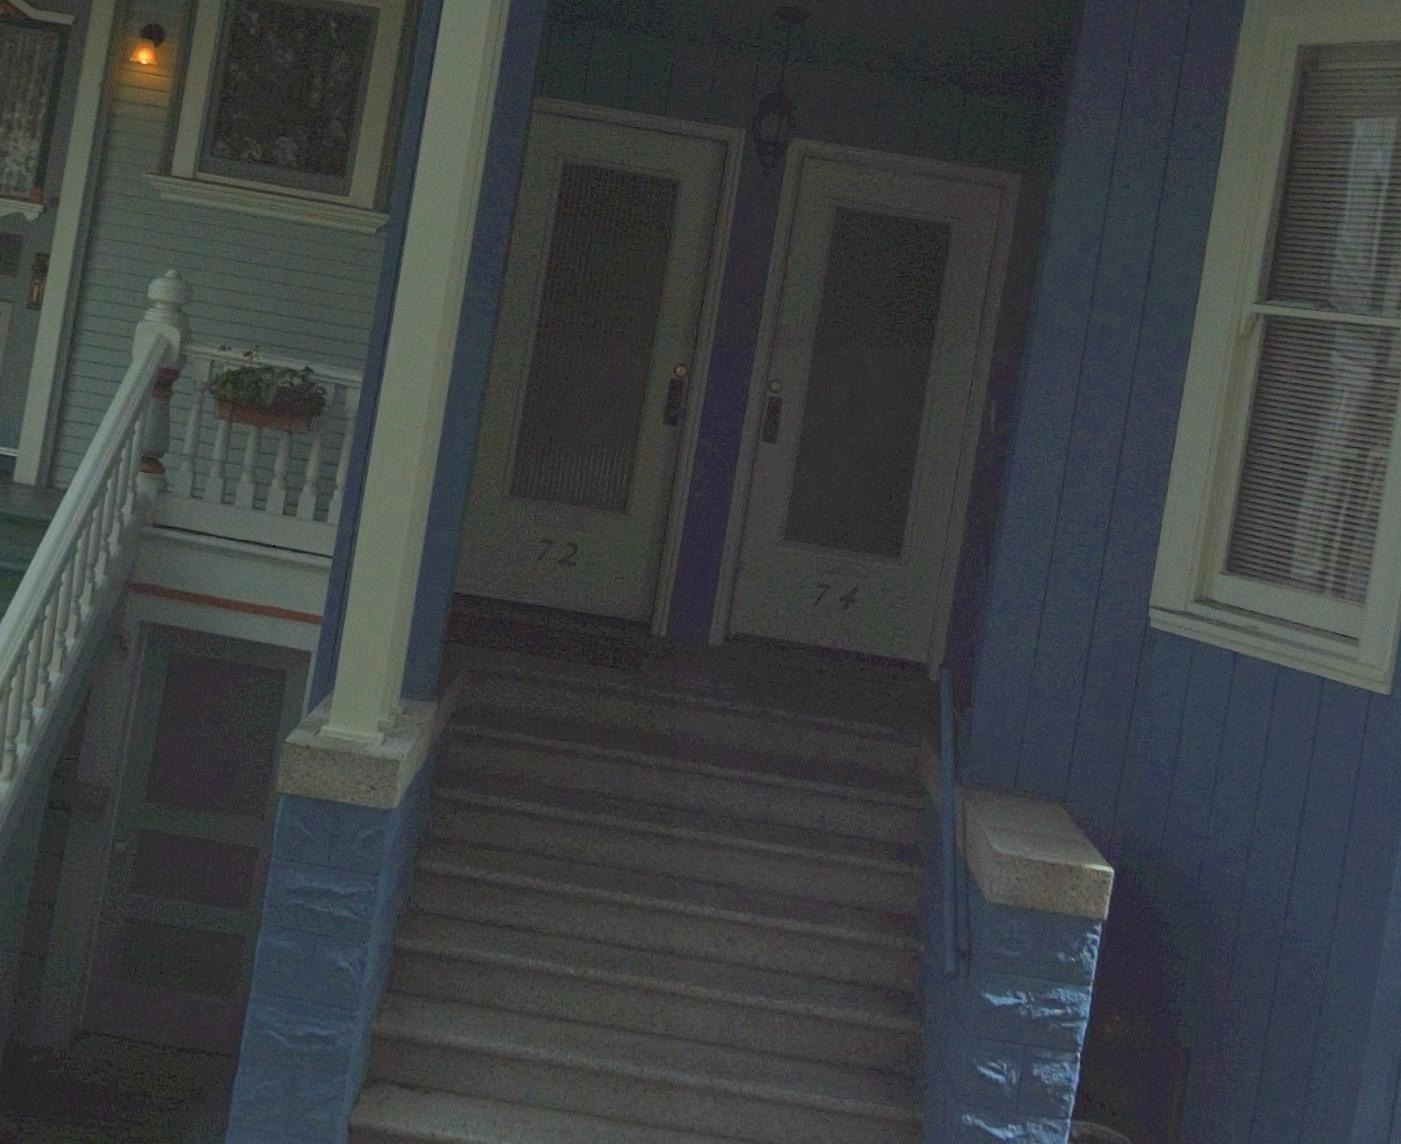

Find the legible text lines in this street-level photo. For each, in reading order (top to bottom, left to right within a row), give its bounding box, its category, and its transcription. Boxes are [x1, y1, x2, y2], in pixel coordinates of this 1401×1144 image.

[530, 535, 583, 573] StreetNumber: 72
[810, 578, 866, 618] StreetNumber: 74